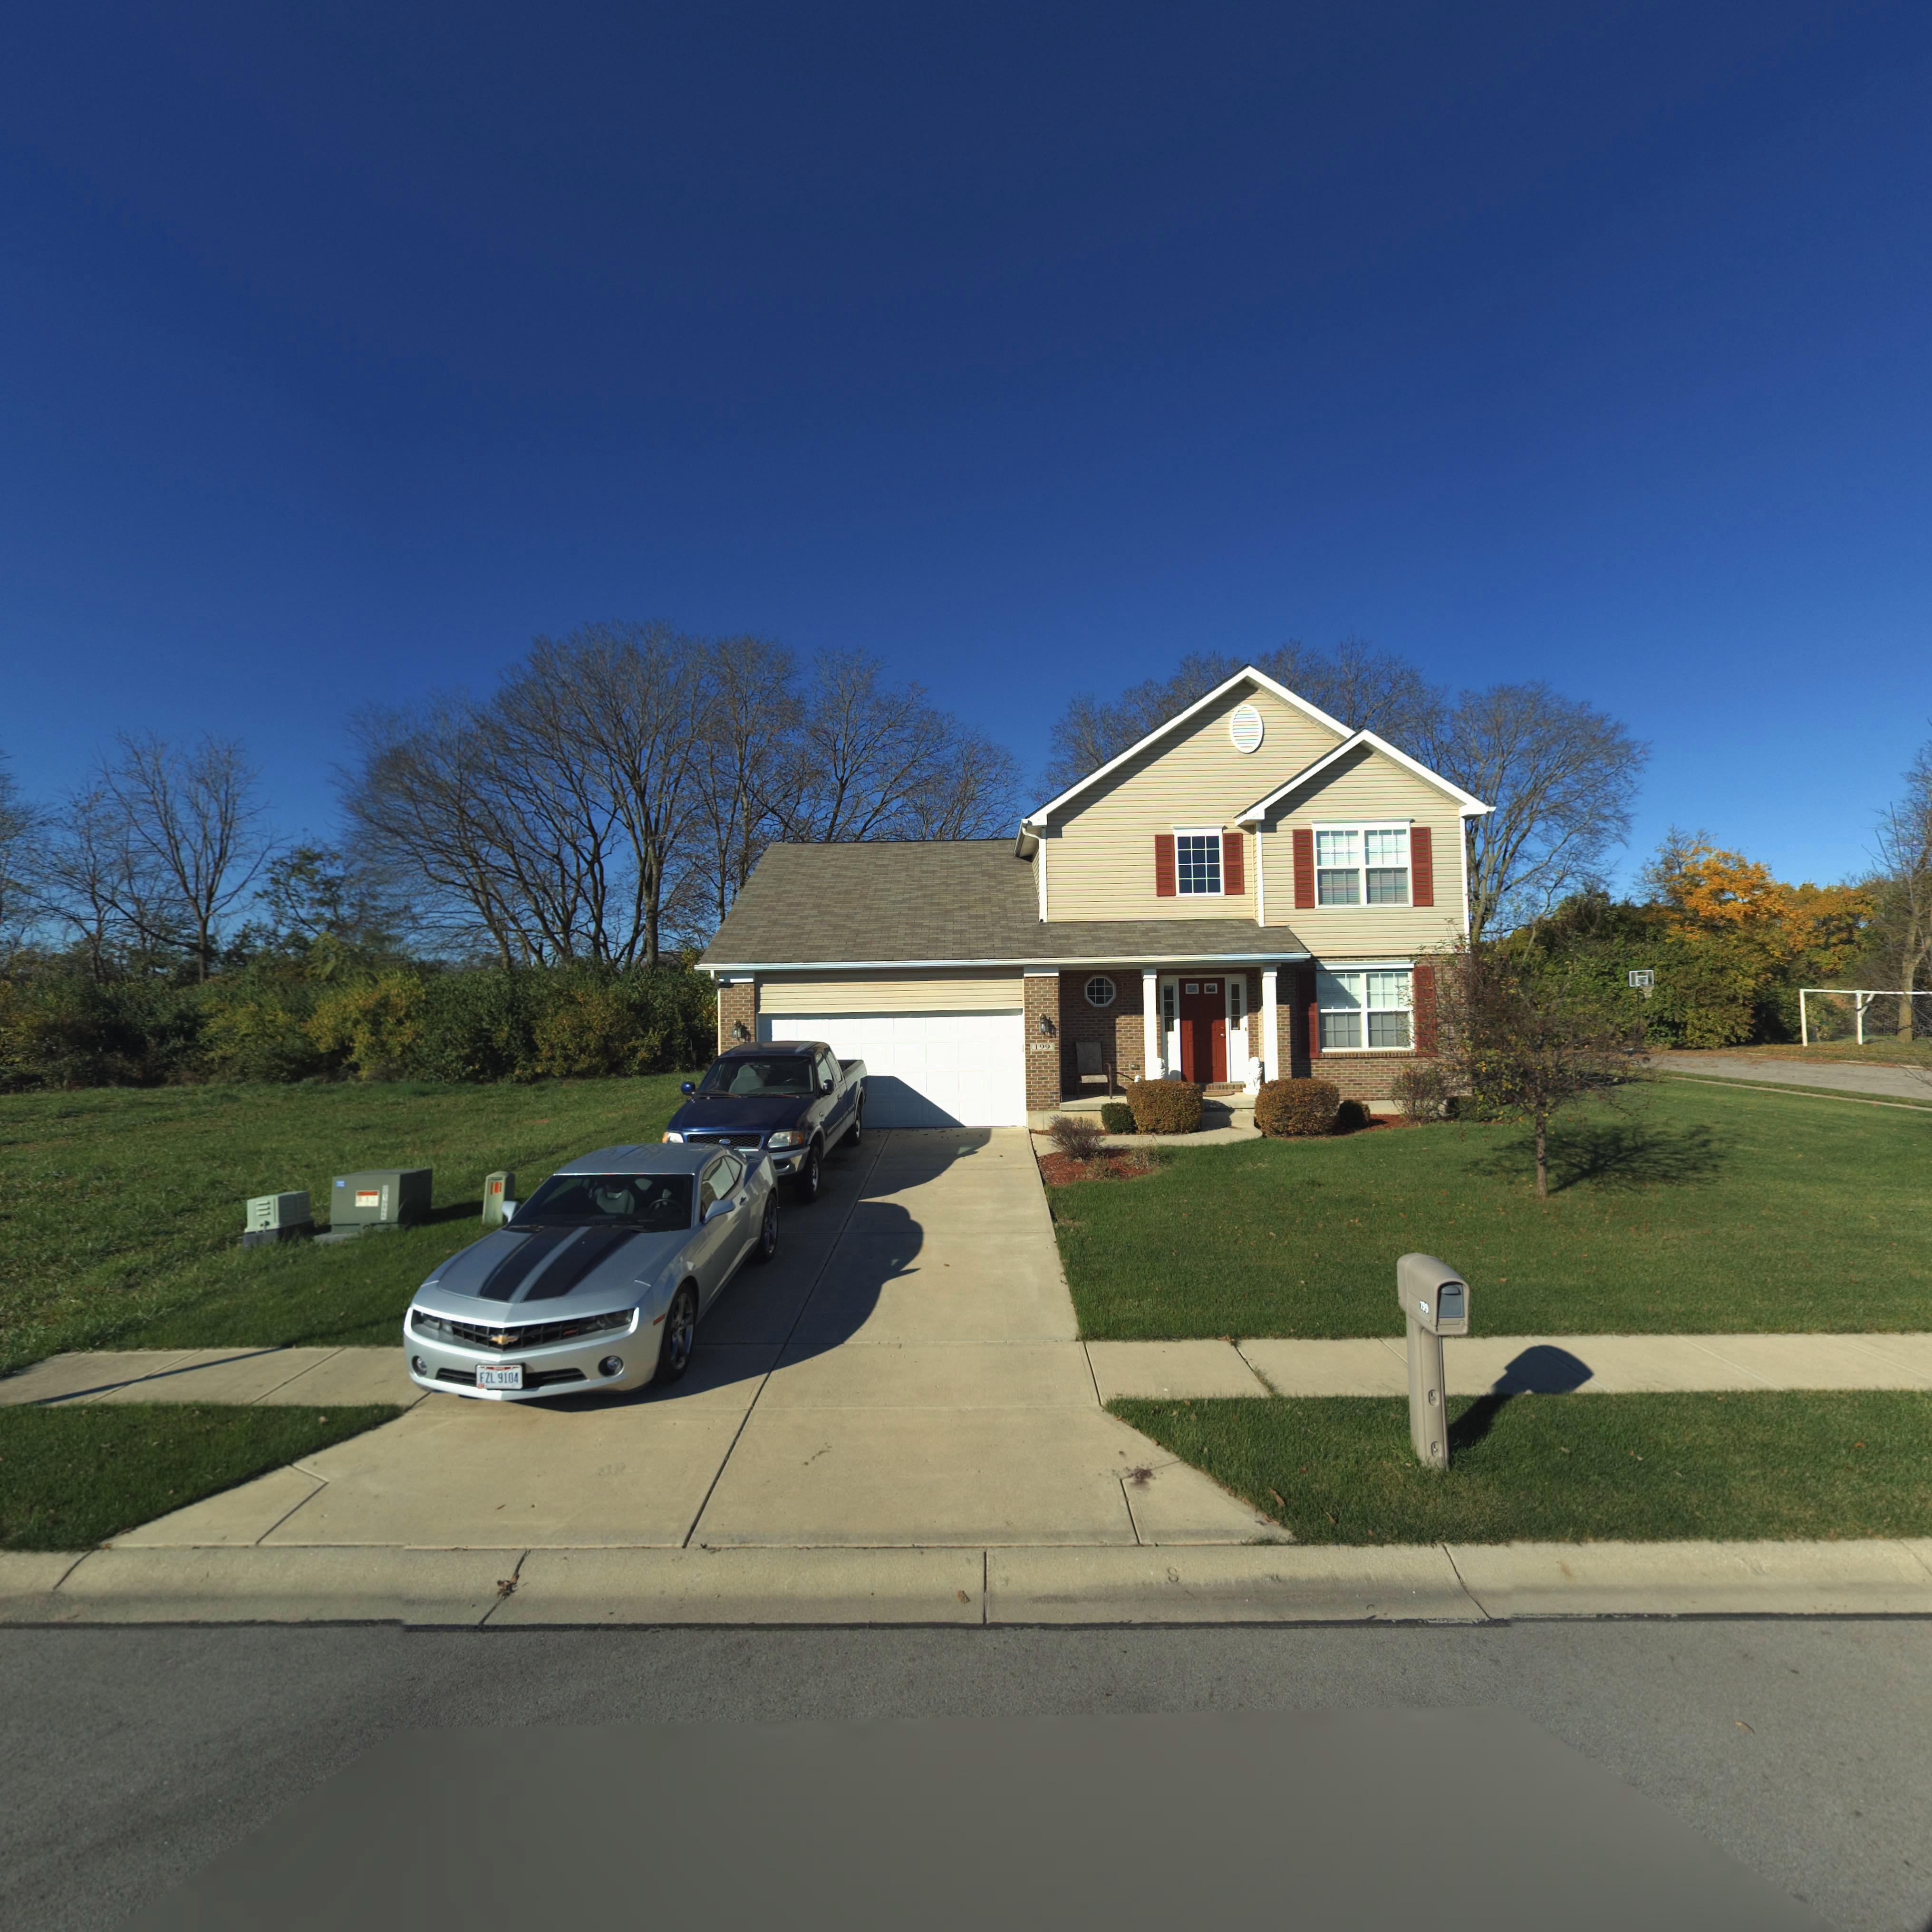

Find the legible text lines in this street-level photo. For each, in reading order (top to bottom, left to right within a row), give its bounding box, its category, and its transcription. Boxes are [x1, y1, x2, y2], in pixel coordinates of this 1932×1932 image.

[1034, 1043, 1051, 1051] StreetNumber: 199
[1419, 1299, 1429, 1314] StreetNumber: 199